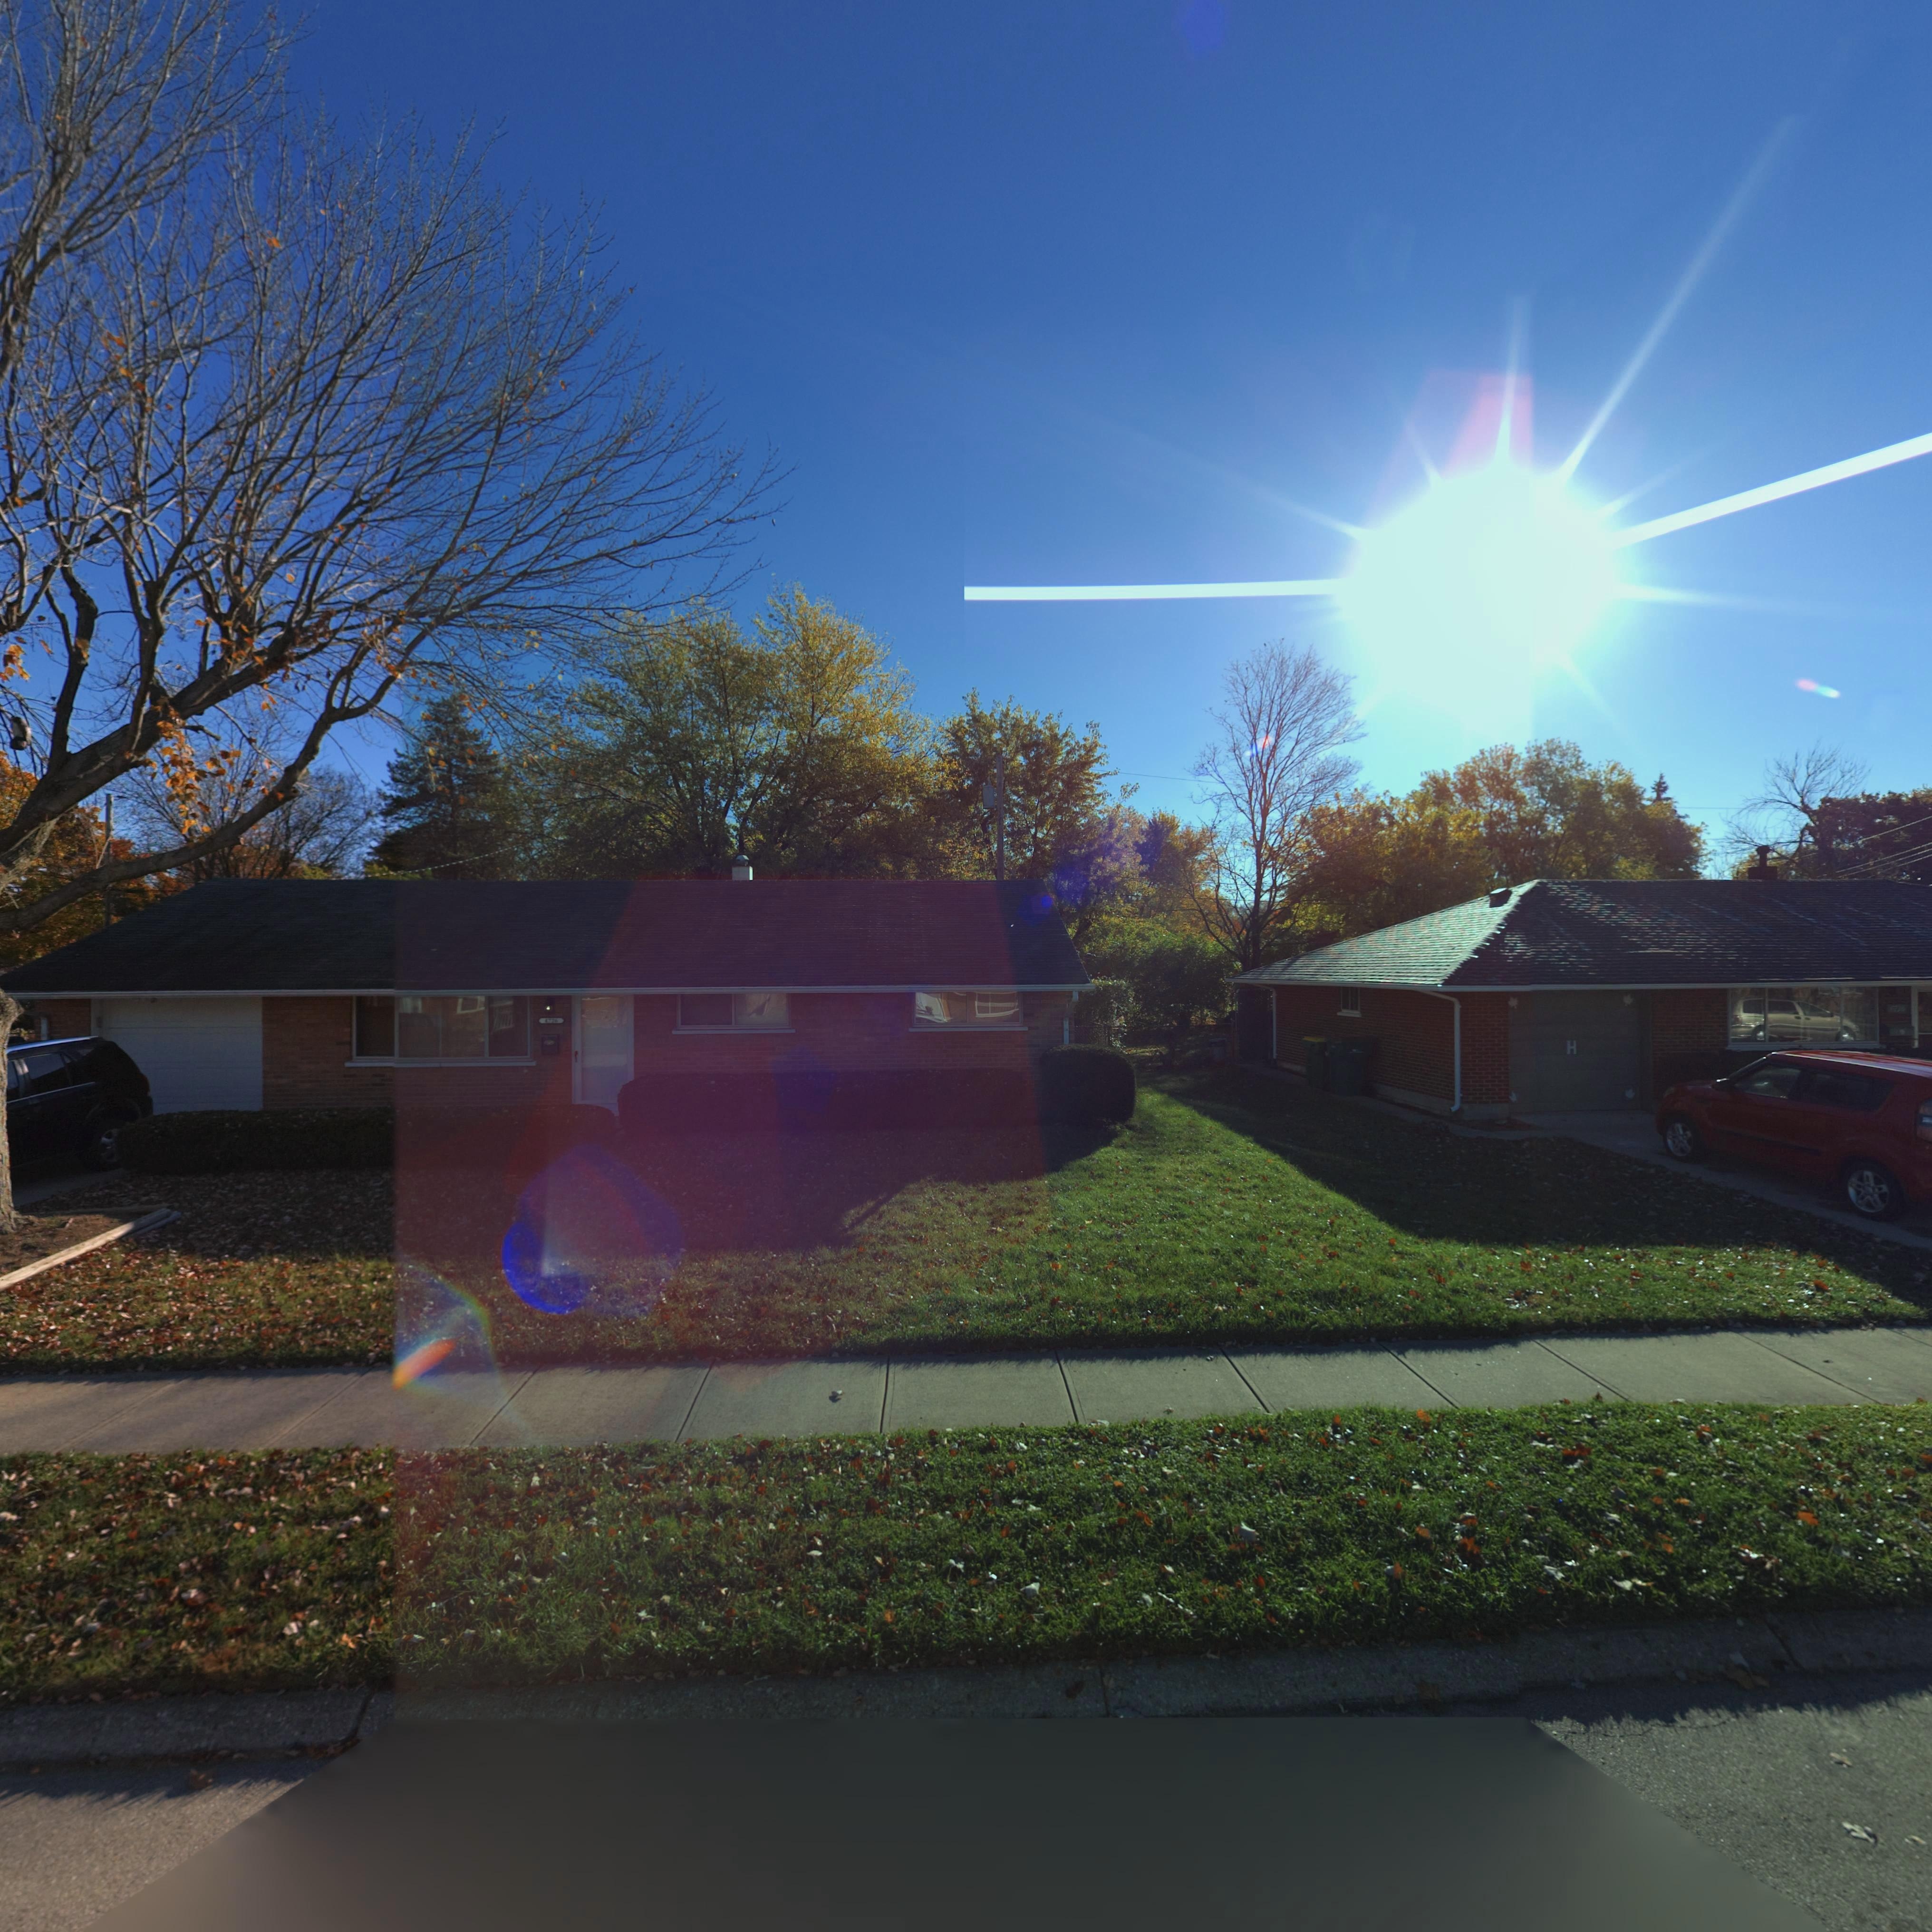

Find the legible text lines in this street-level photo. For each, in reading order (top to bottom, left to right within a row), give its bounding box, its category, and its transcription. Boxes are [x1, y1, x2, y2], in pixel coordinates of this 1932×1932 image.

[544, 1018, 558, 1024] StreetNumber: 4726